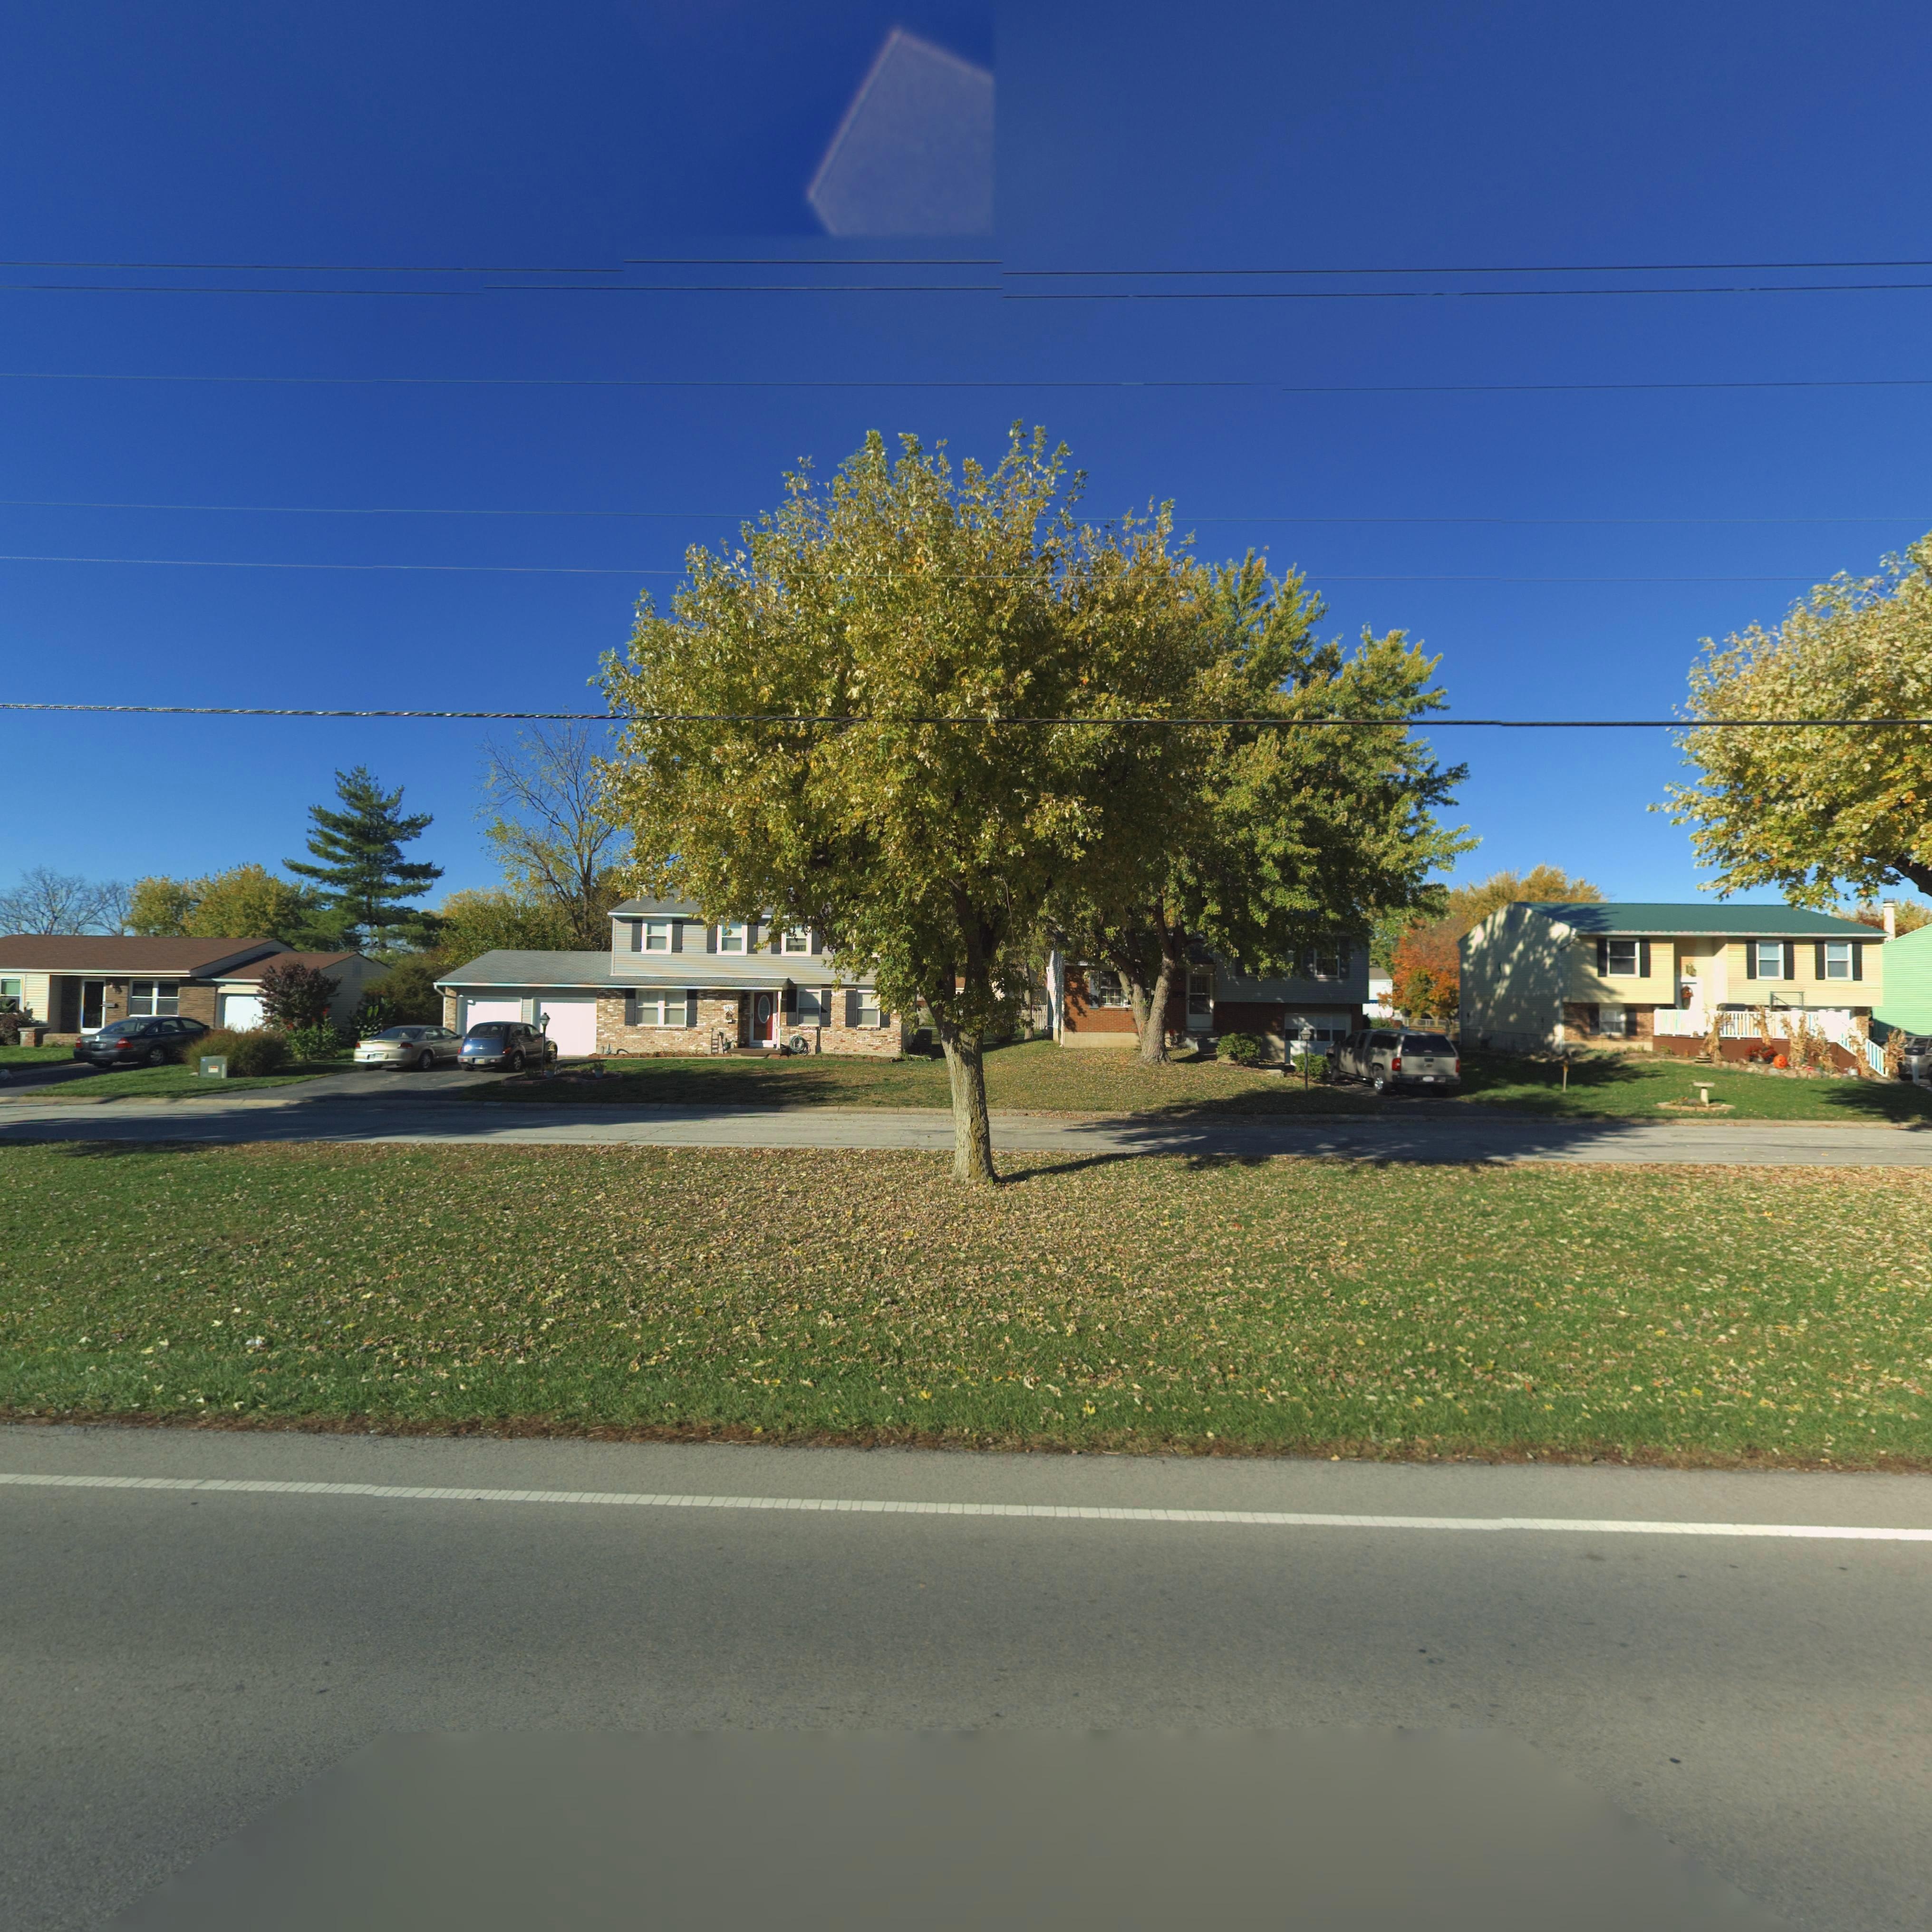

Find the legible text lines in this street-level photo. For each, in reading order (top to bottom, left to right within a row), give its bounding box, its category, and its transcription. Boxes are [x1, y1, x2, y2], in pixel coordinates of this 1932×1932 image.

[724, 1005, 734, 1010] StreetNumber: 6*0